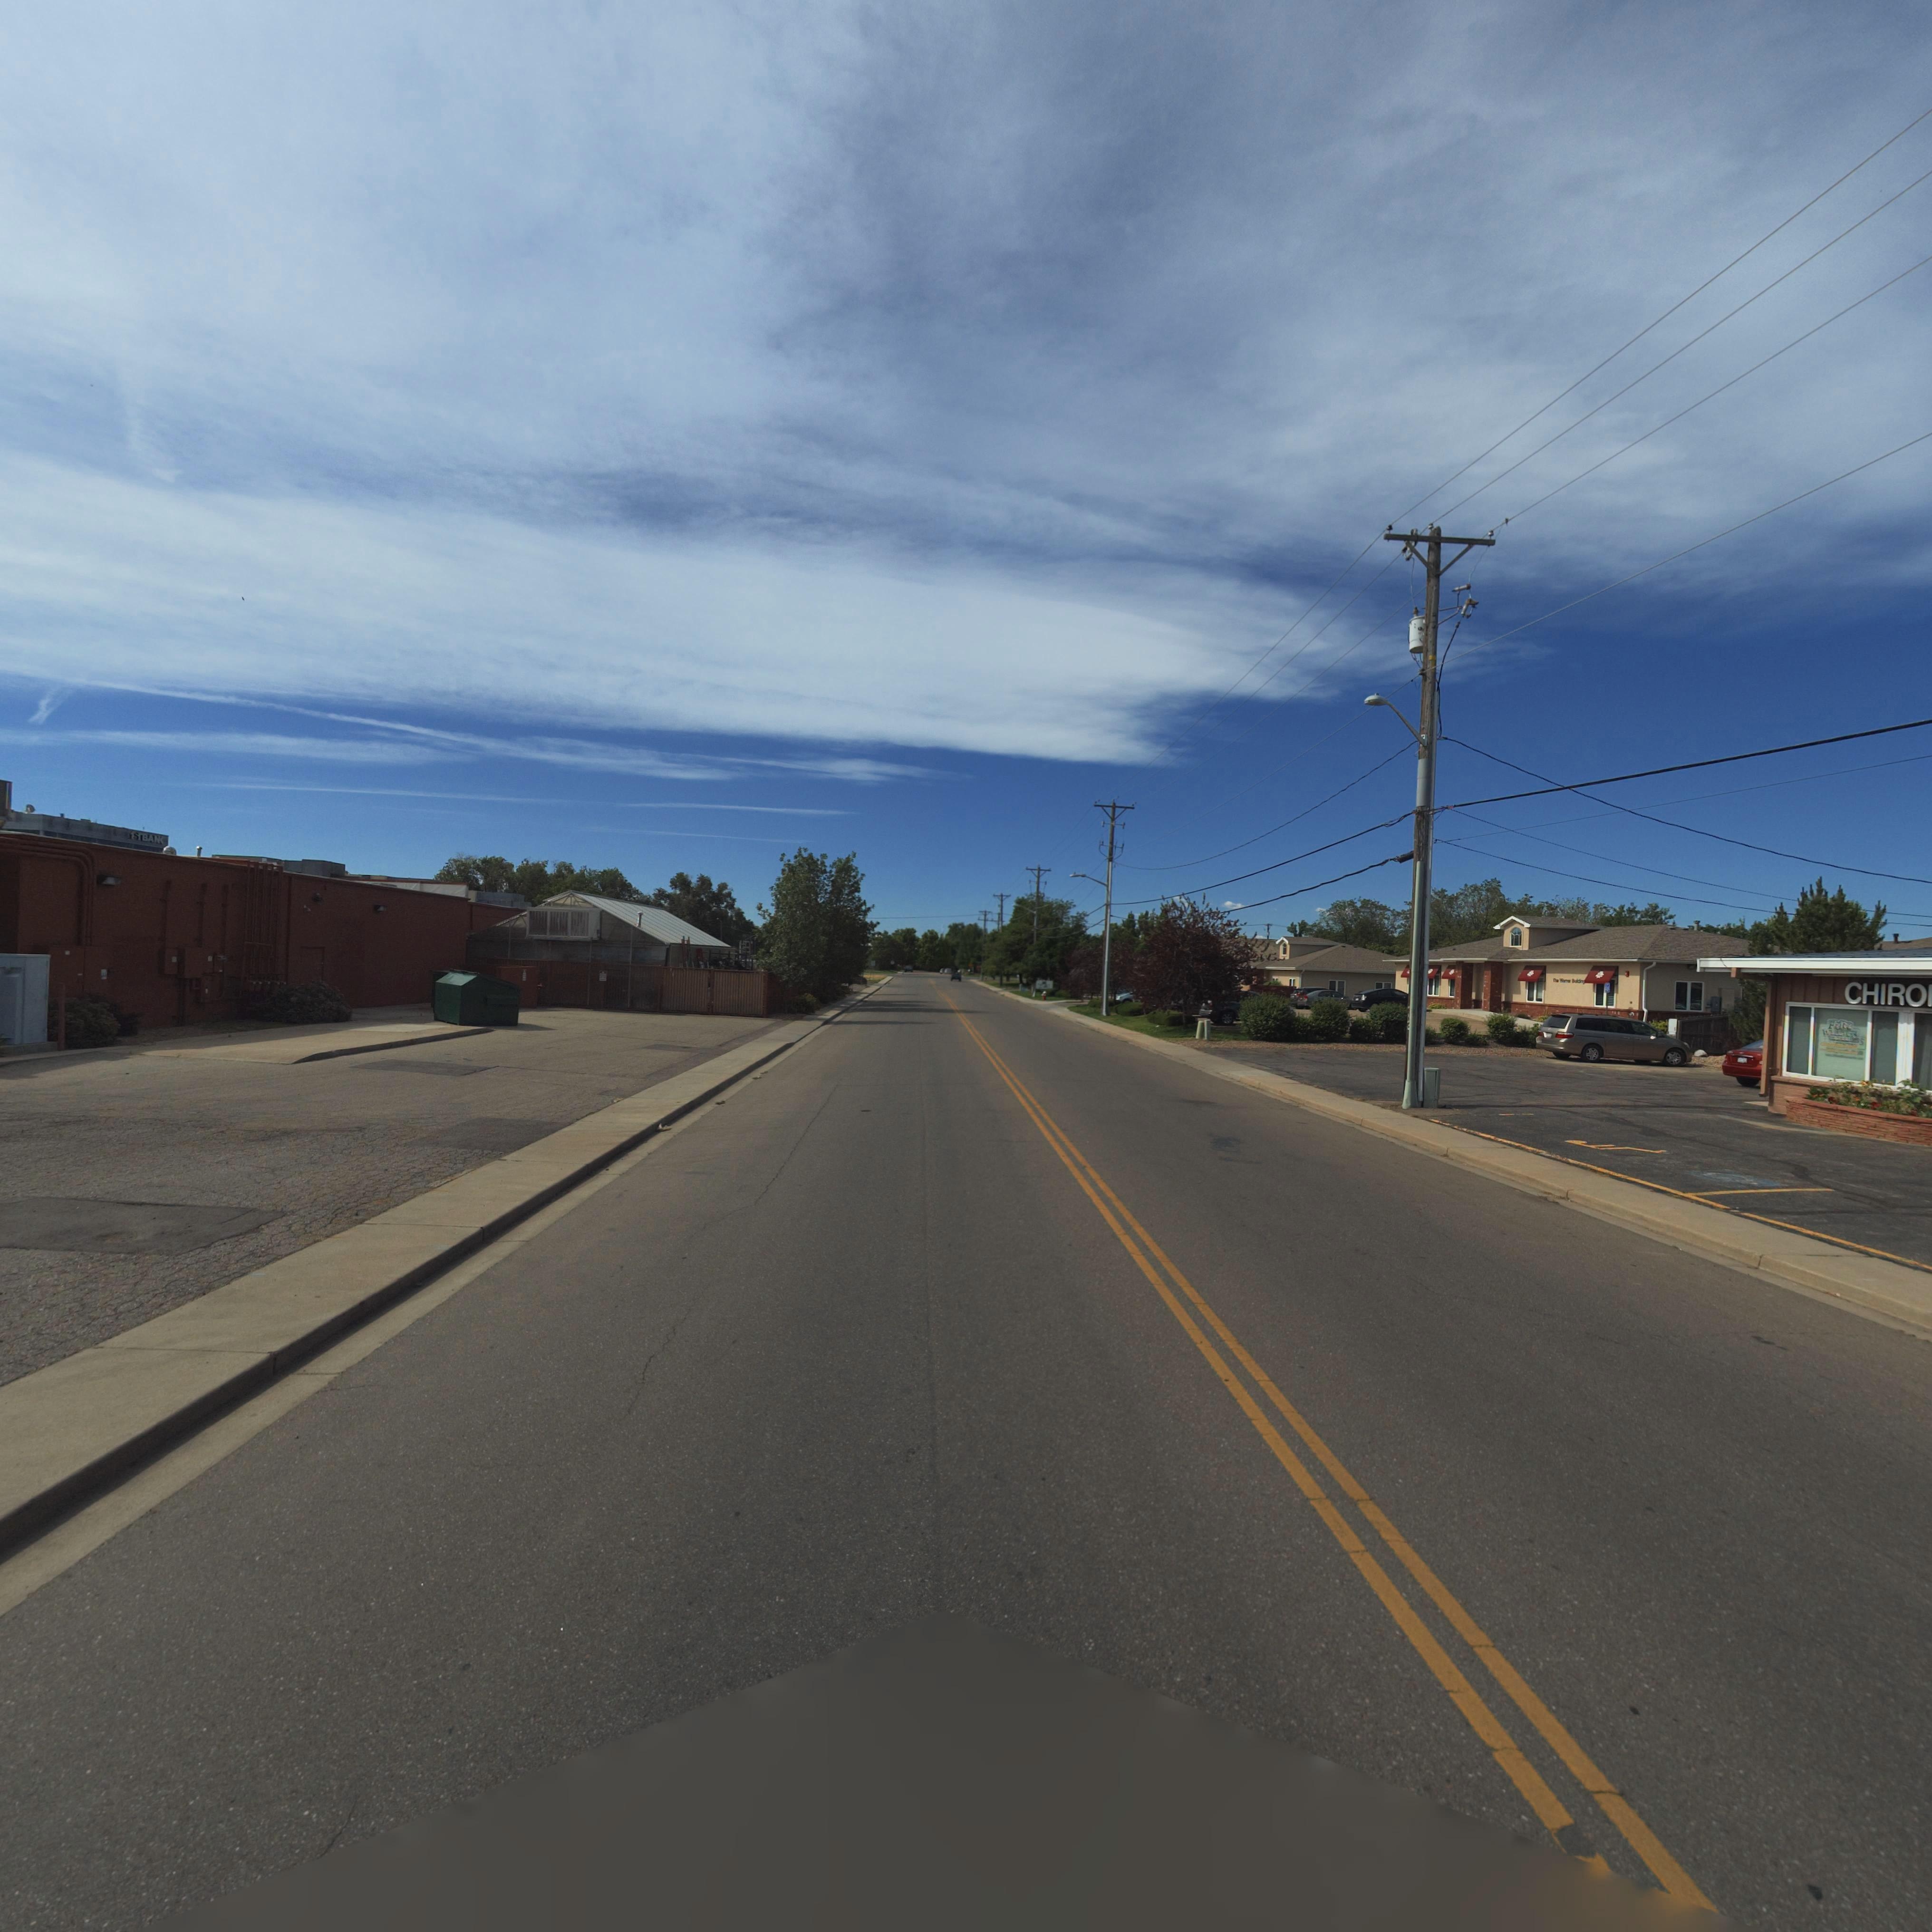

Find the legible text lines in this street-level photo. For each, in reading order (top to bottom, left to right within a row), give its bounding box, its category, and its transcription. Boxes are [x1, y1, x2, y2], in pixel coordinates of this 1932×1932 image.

[129, 831, 164, 845] BusinessName: 1STBAN*
[1827, 1019, 1852, 1031] BusinessName: F*it*
[1821, 1028, 1858, 1040] BusinessName: WE*****S